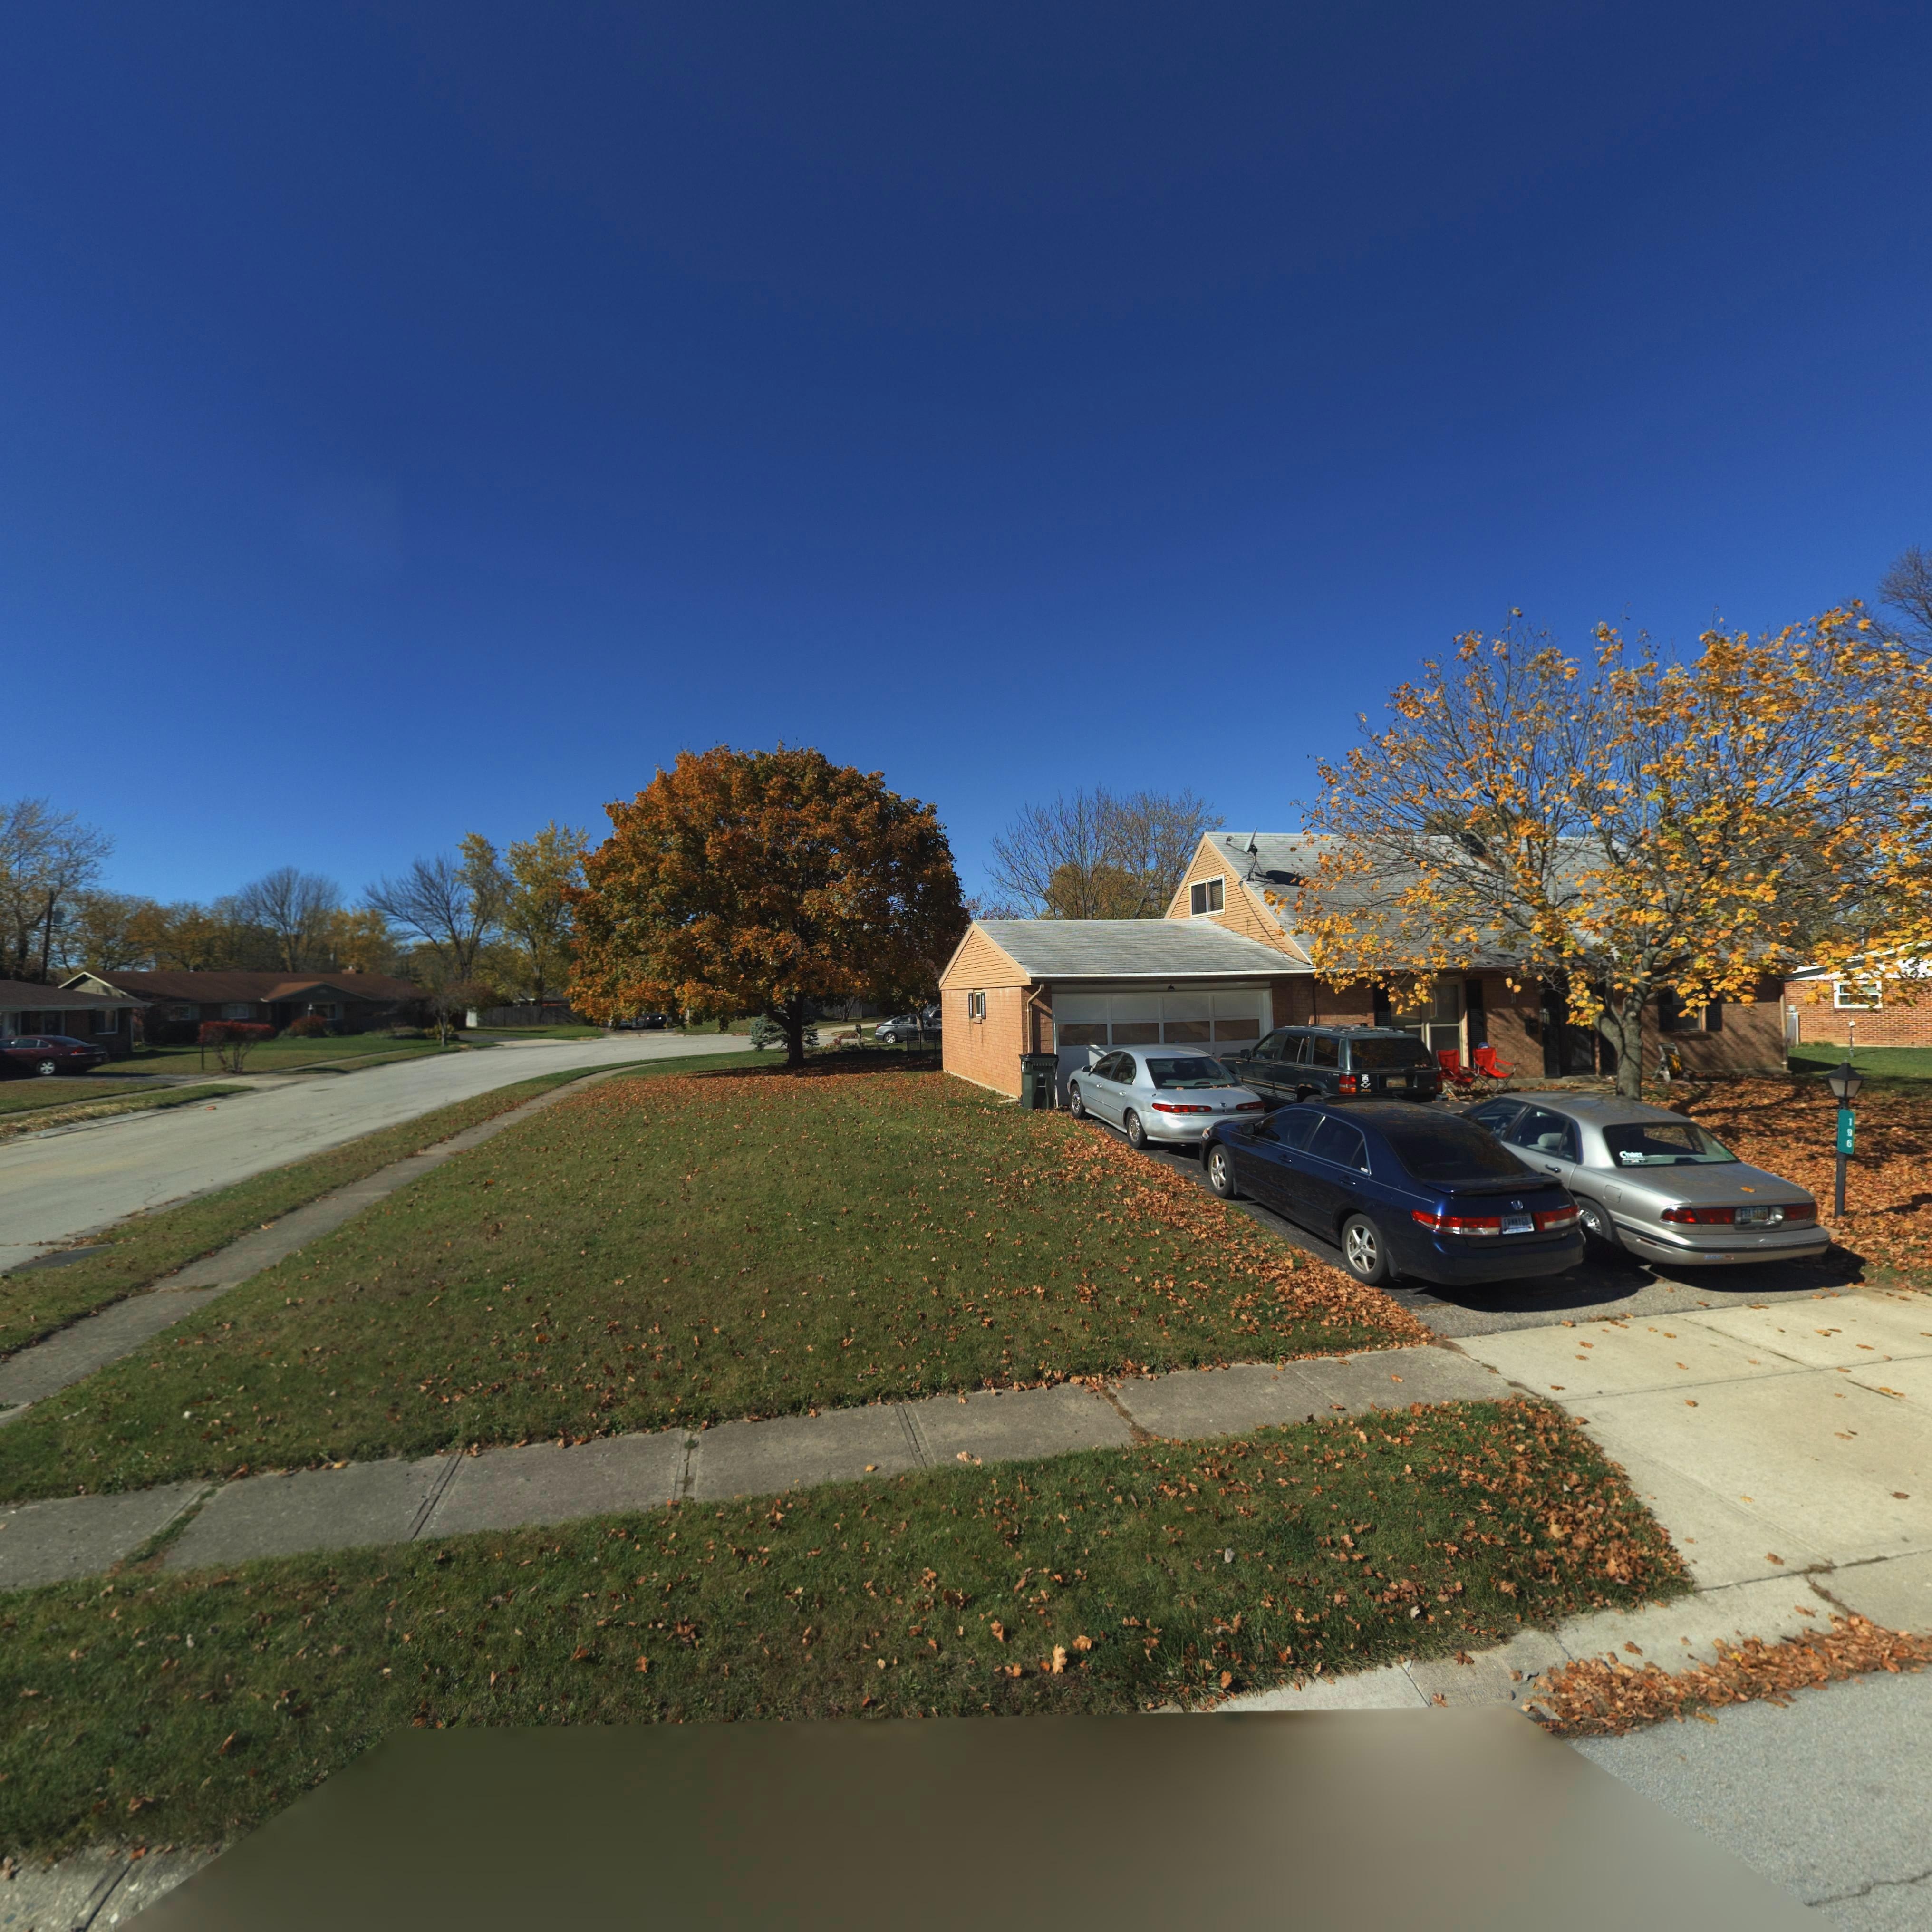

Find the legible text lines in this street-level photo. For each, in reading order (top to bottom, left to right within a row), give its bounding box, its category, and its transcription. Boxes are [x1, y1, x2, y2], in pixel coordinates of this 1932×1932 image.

[1845, 1117, 1854, 1149] StreetNumber: 196